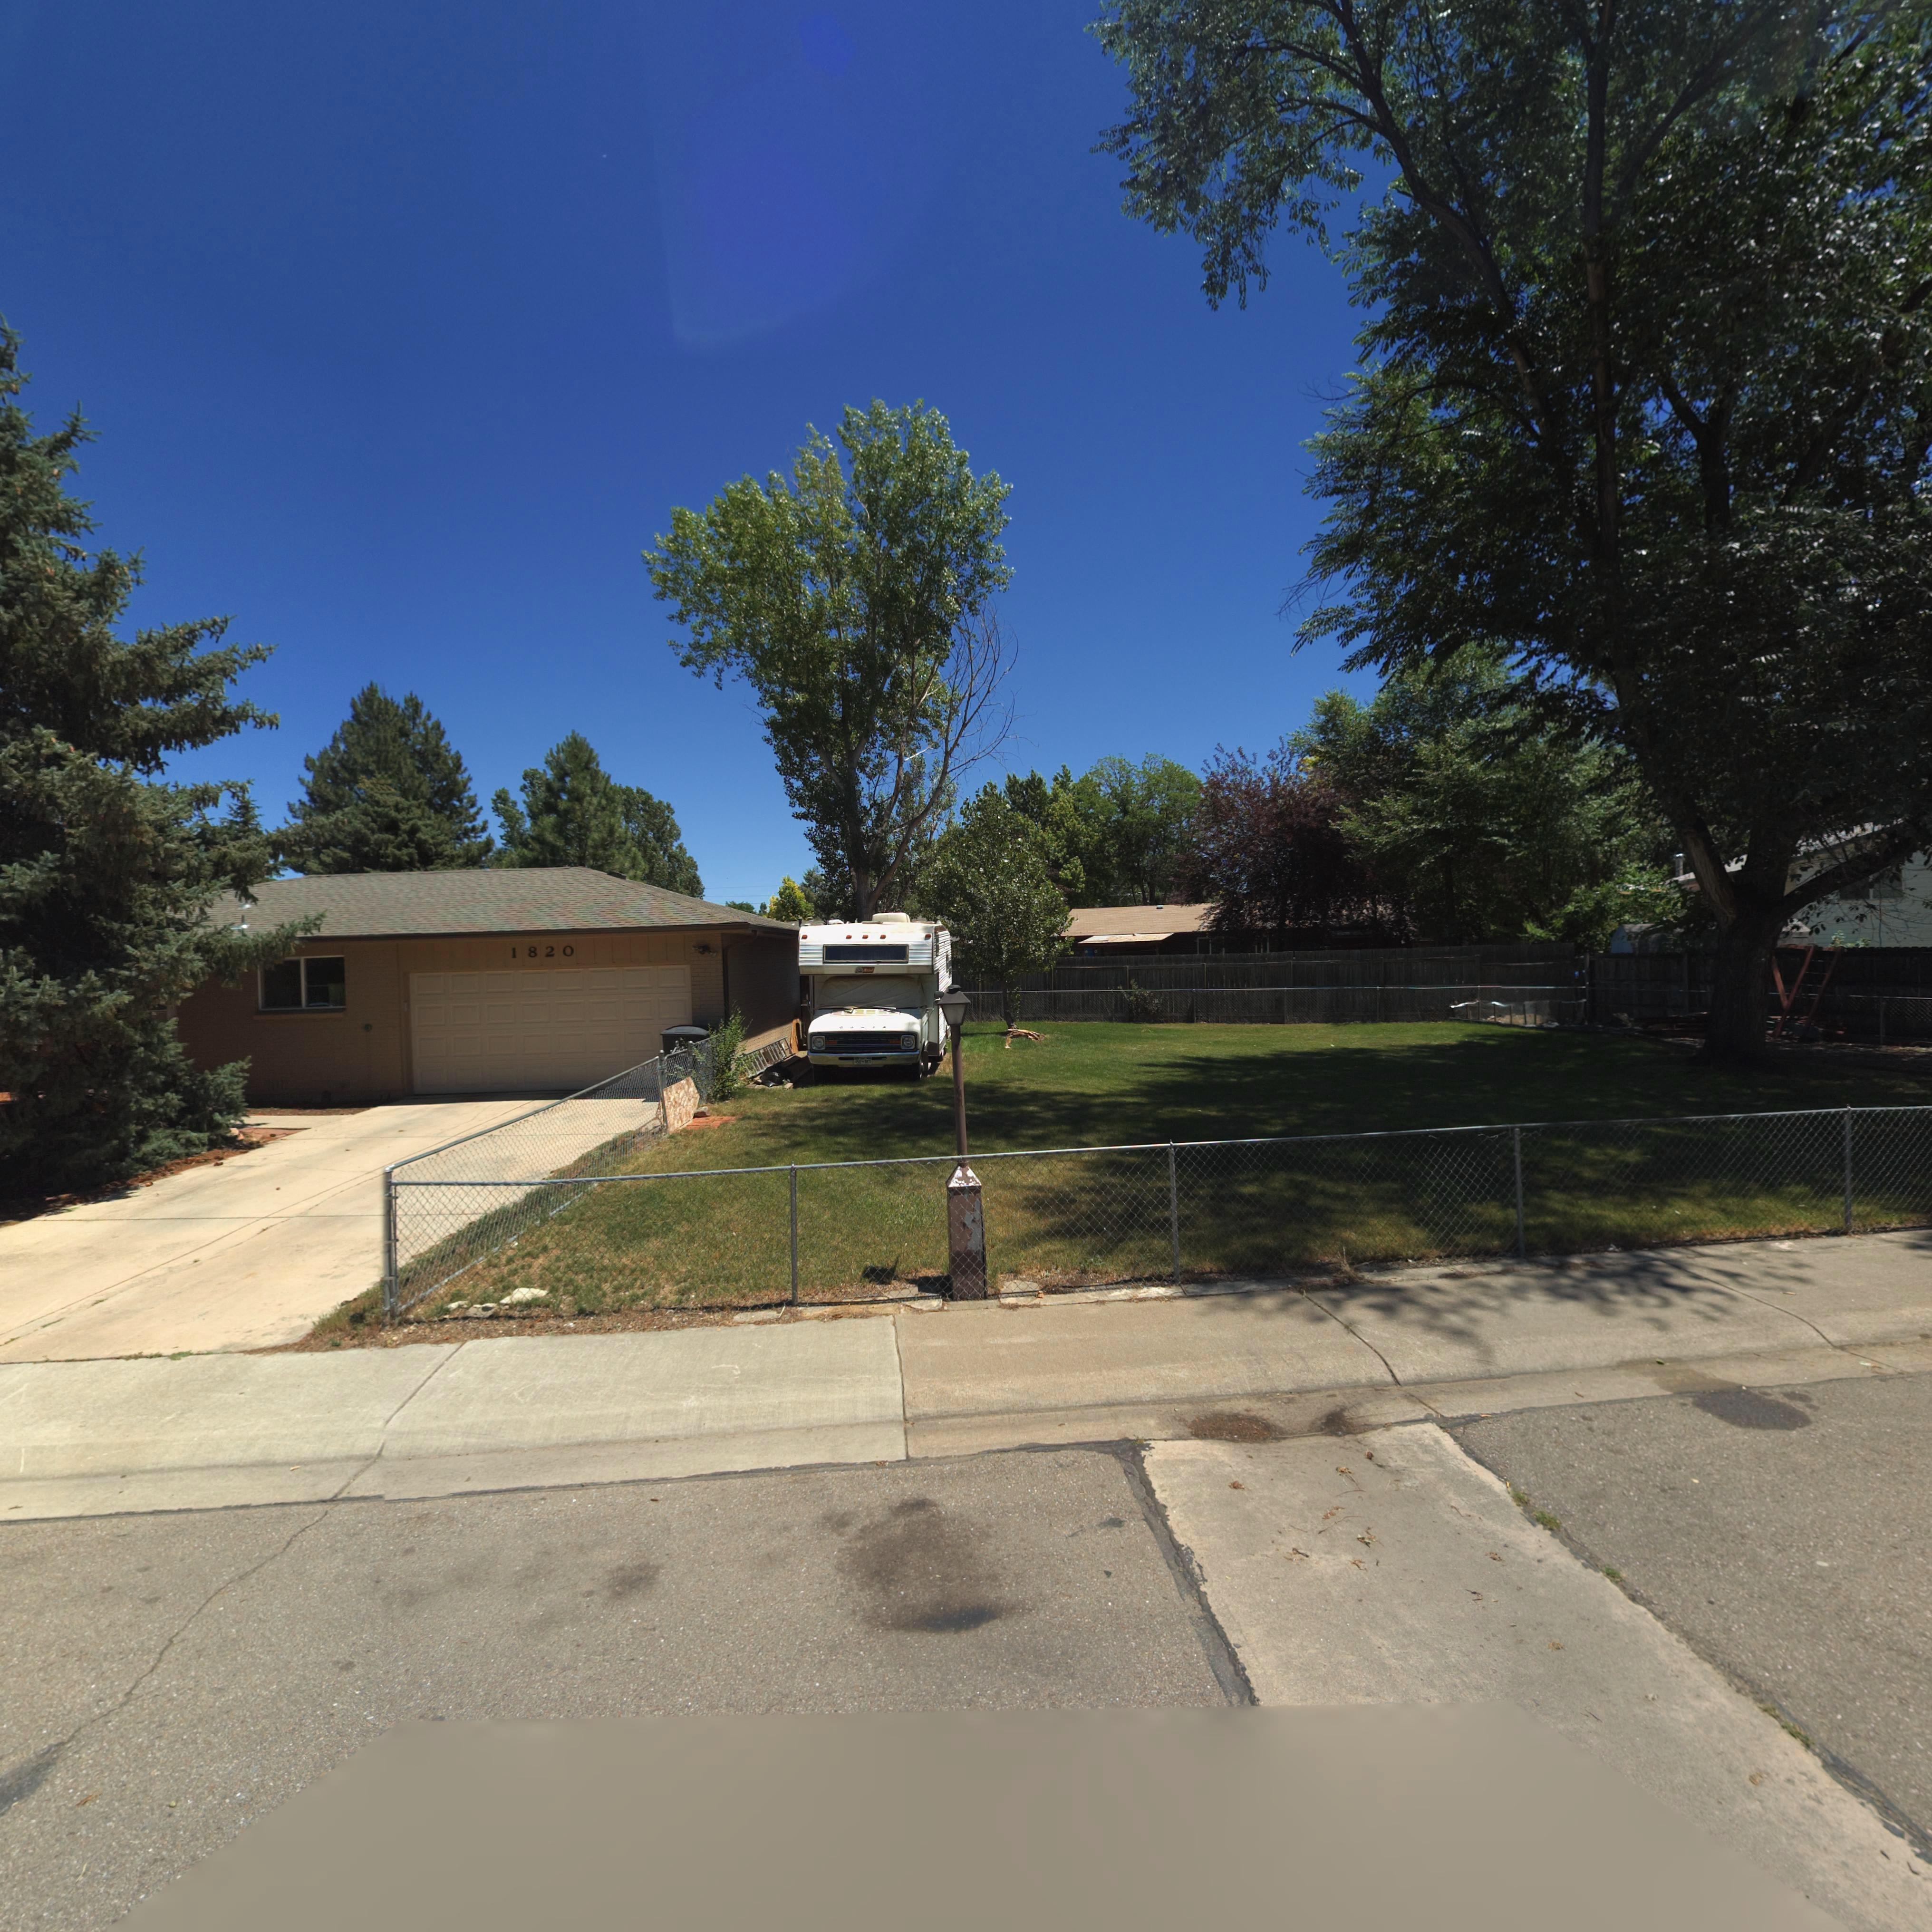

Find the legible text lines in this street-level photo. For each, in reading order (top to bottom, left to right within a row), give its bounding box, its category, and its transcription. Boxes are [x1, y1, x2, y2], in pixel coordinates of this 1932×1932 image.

[511, 945, 574, 959] StreetNumber: 1820